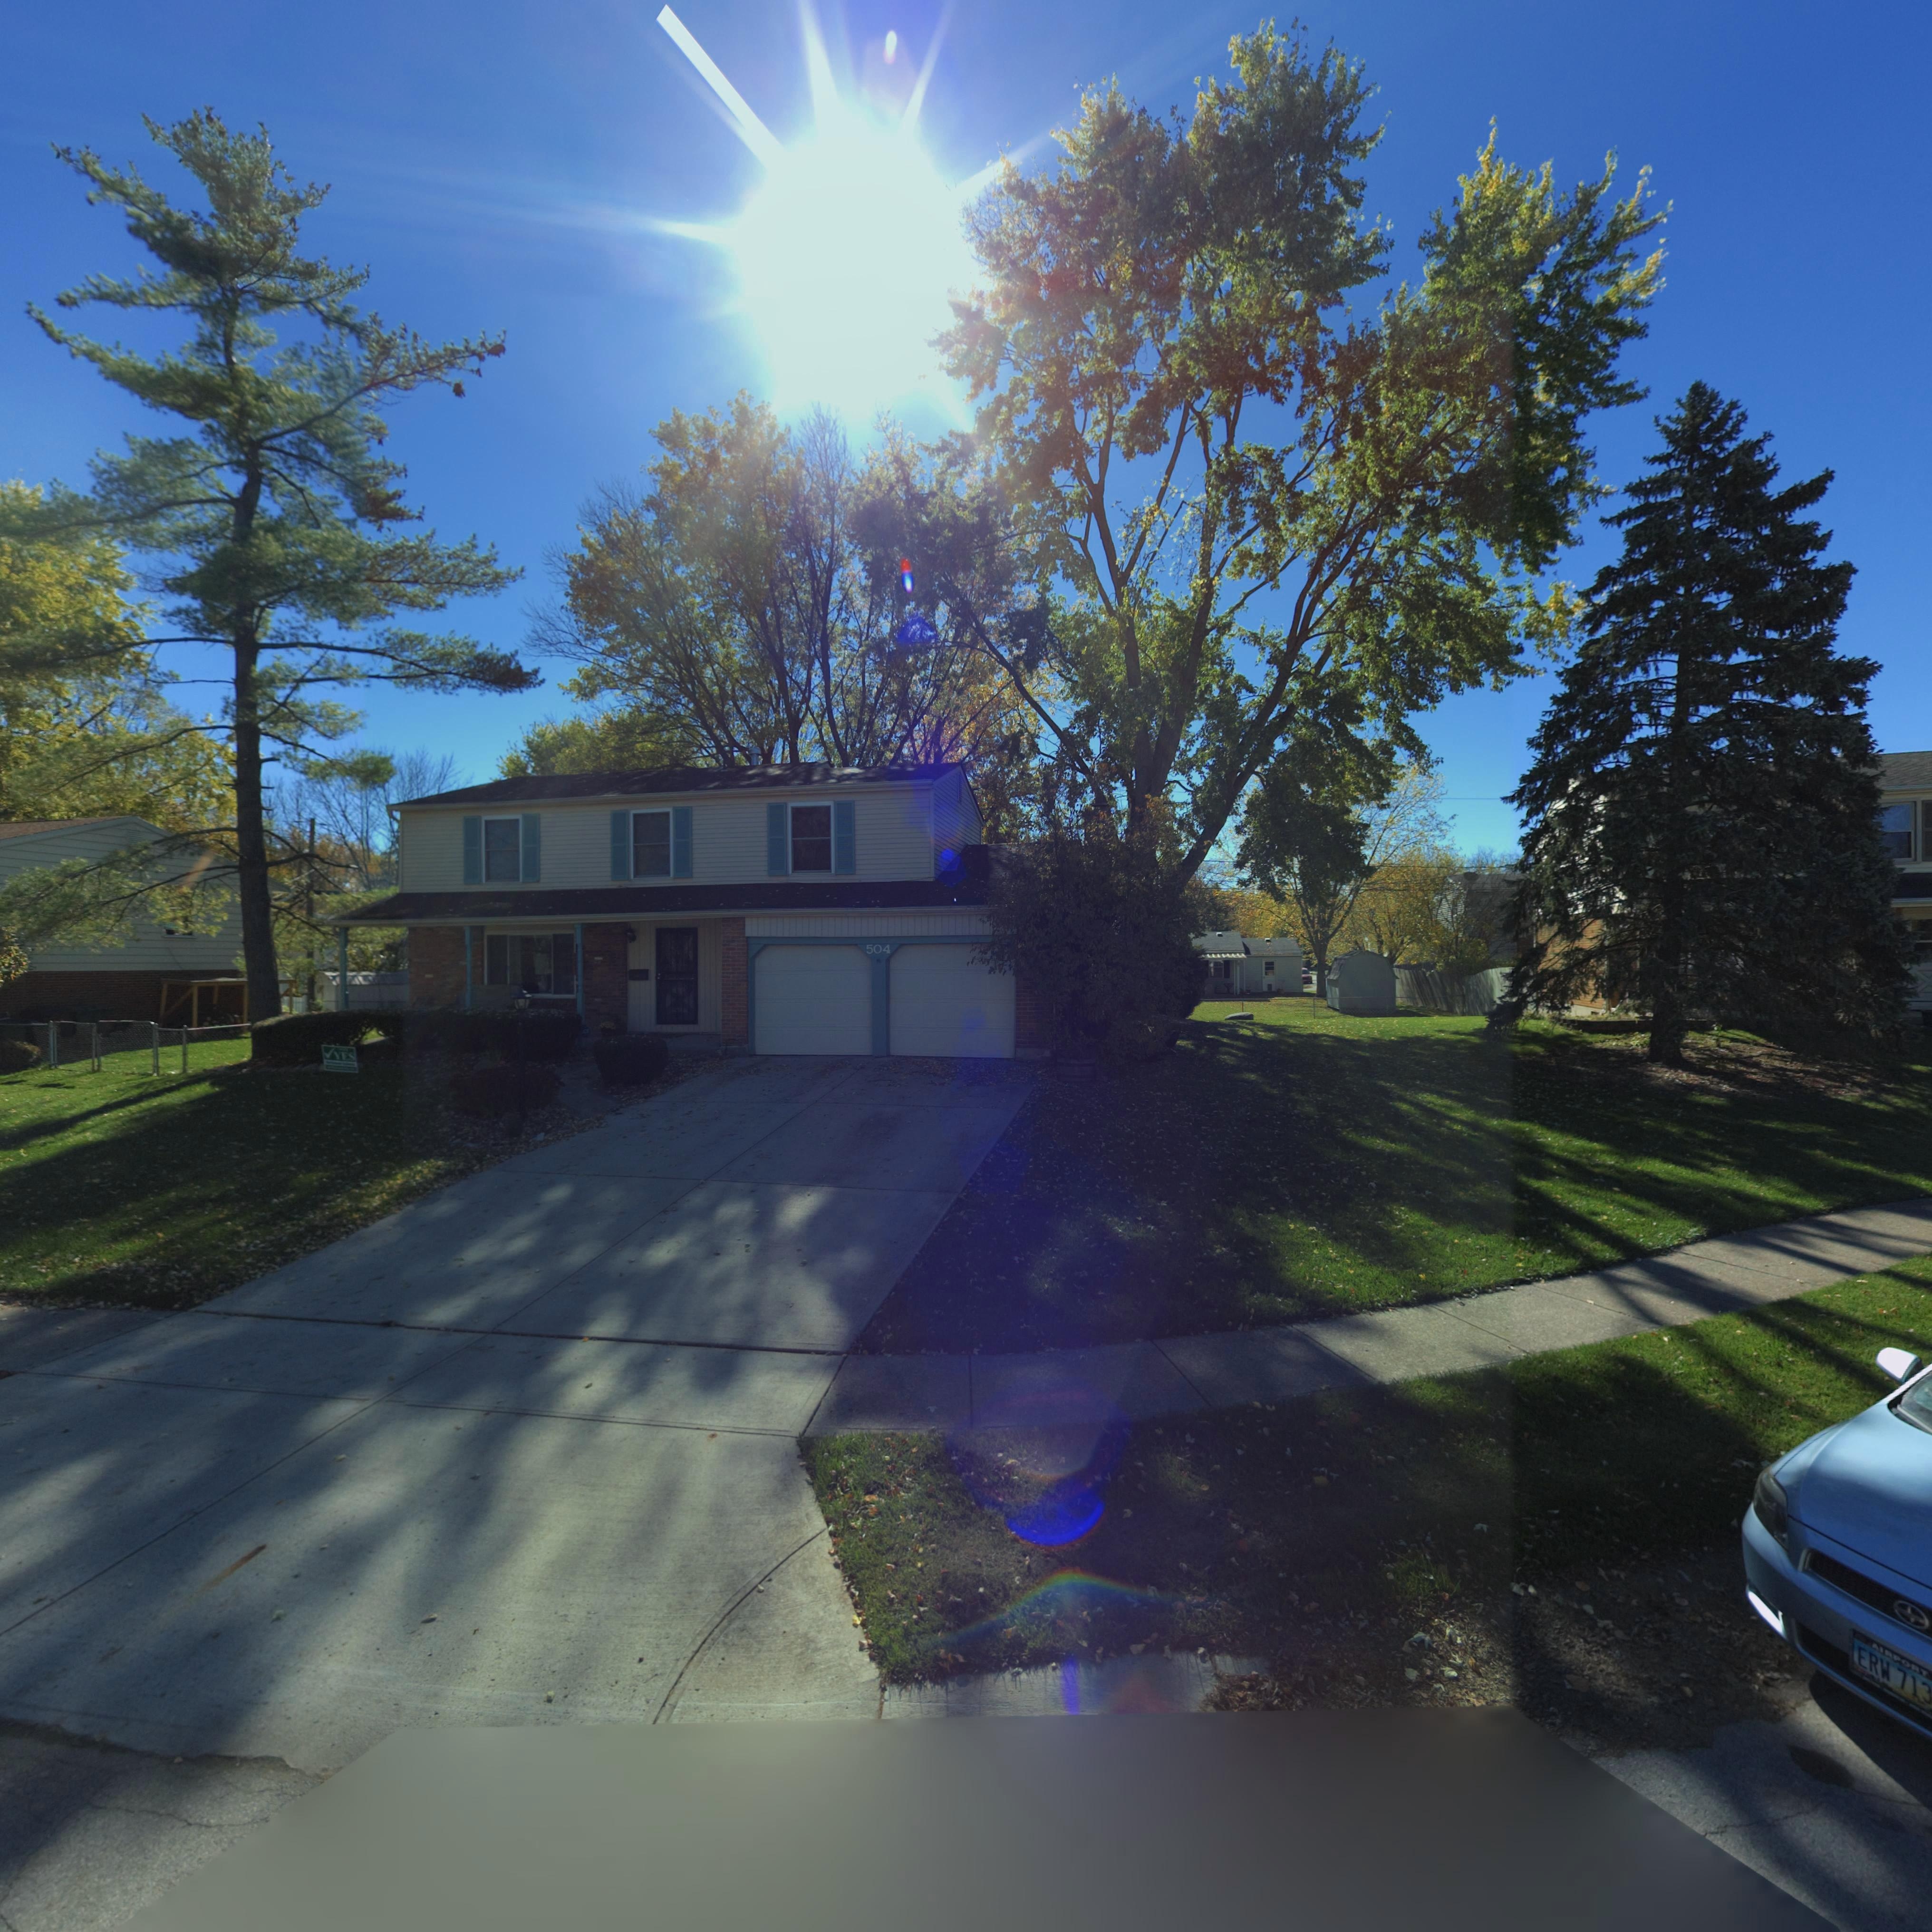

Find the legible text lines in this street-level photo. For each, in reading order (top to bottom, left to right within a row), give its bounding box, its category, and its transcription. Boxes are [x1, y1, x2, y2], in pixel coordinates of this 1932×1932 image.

[865, 943, 892, 956] StreetNumber: 504